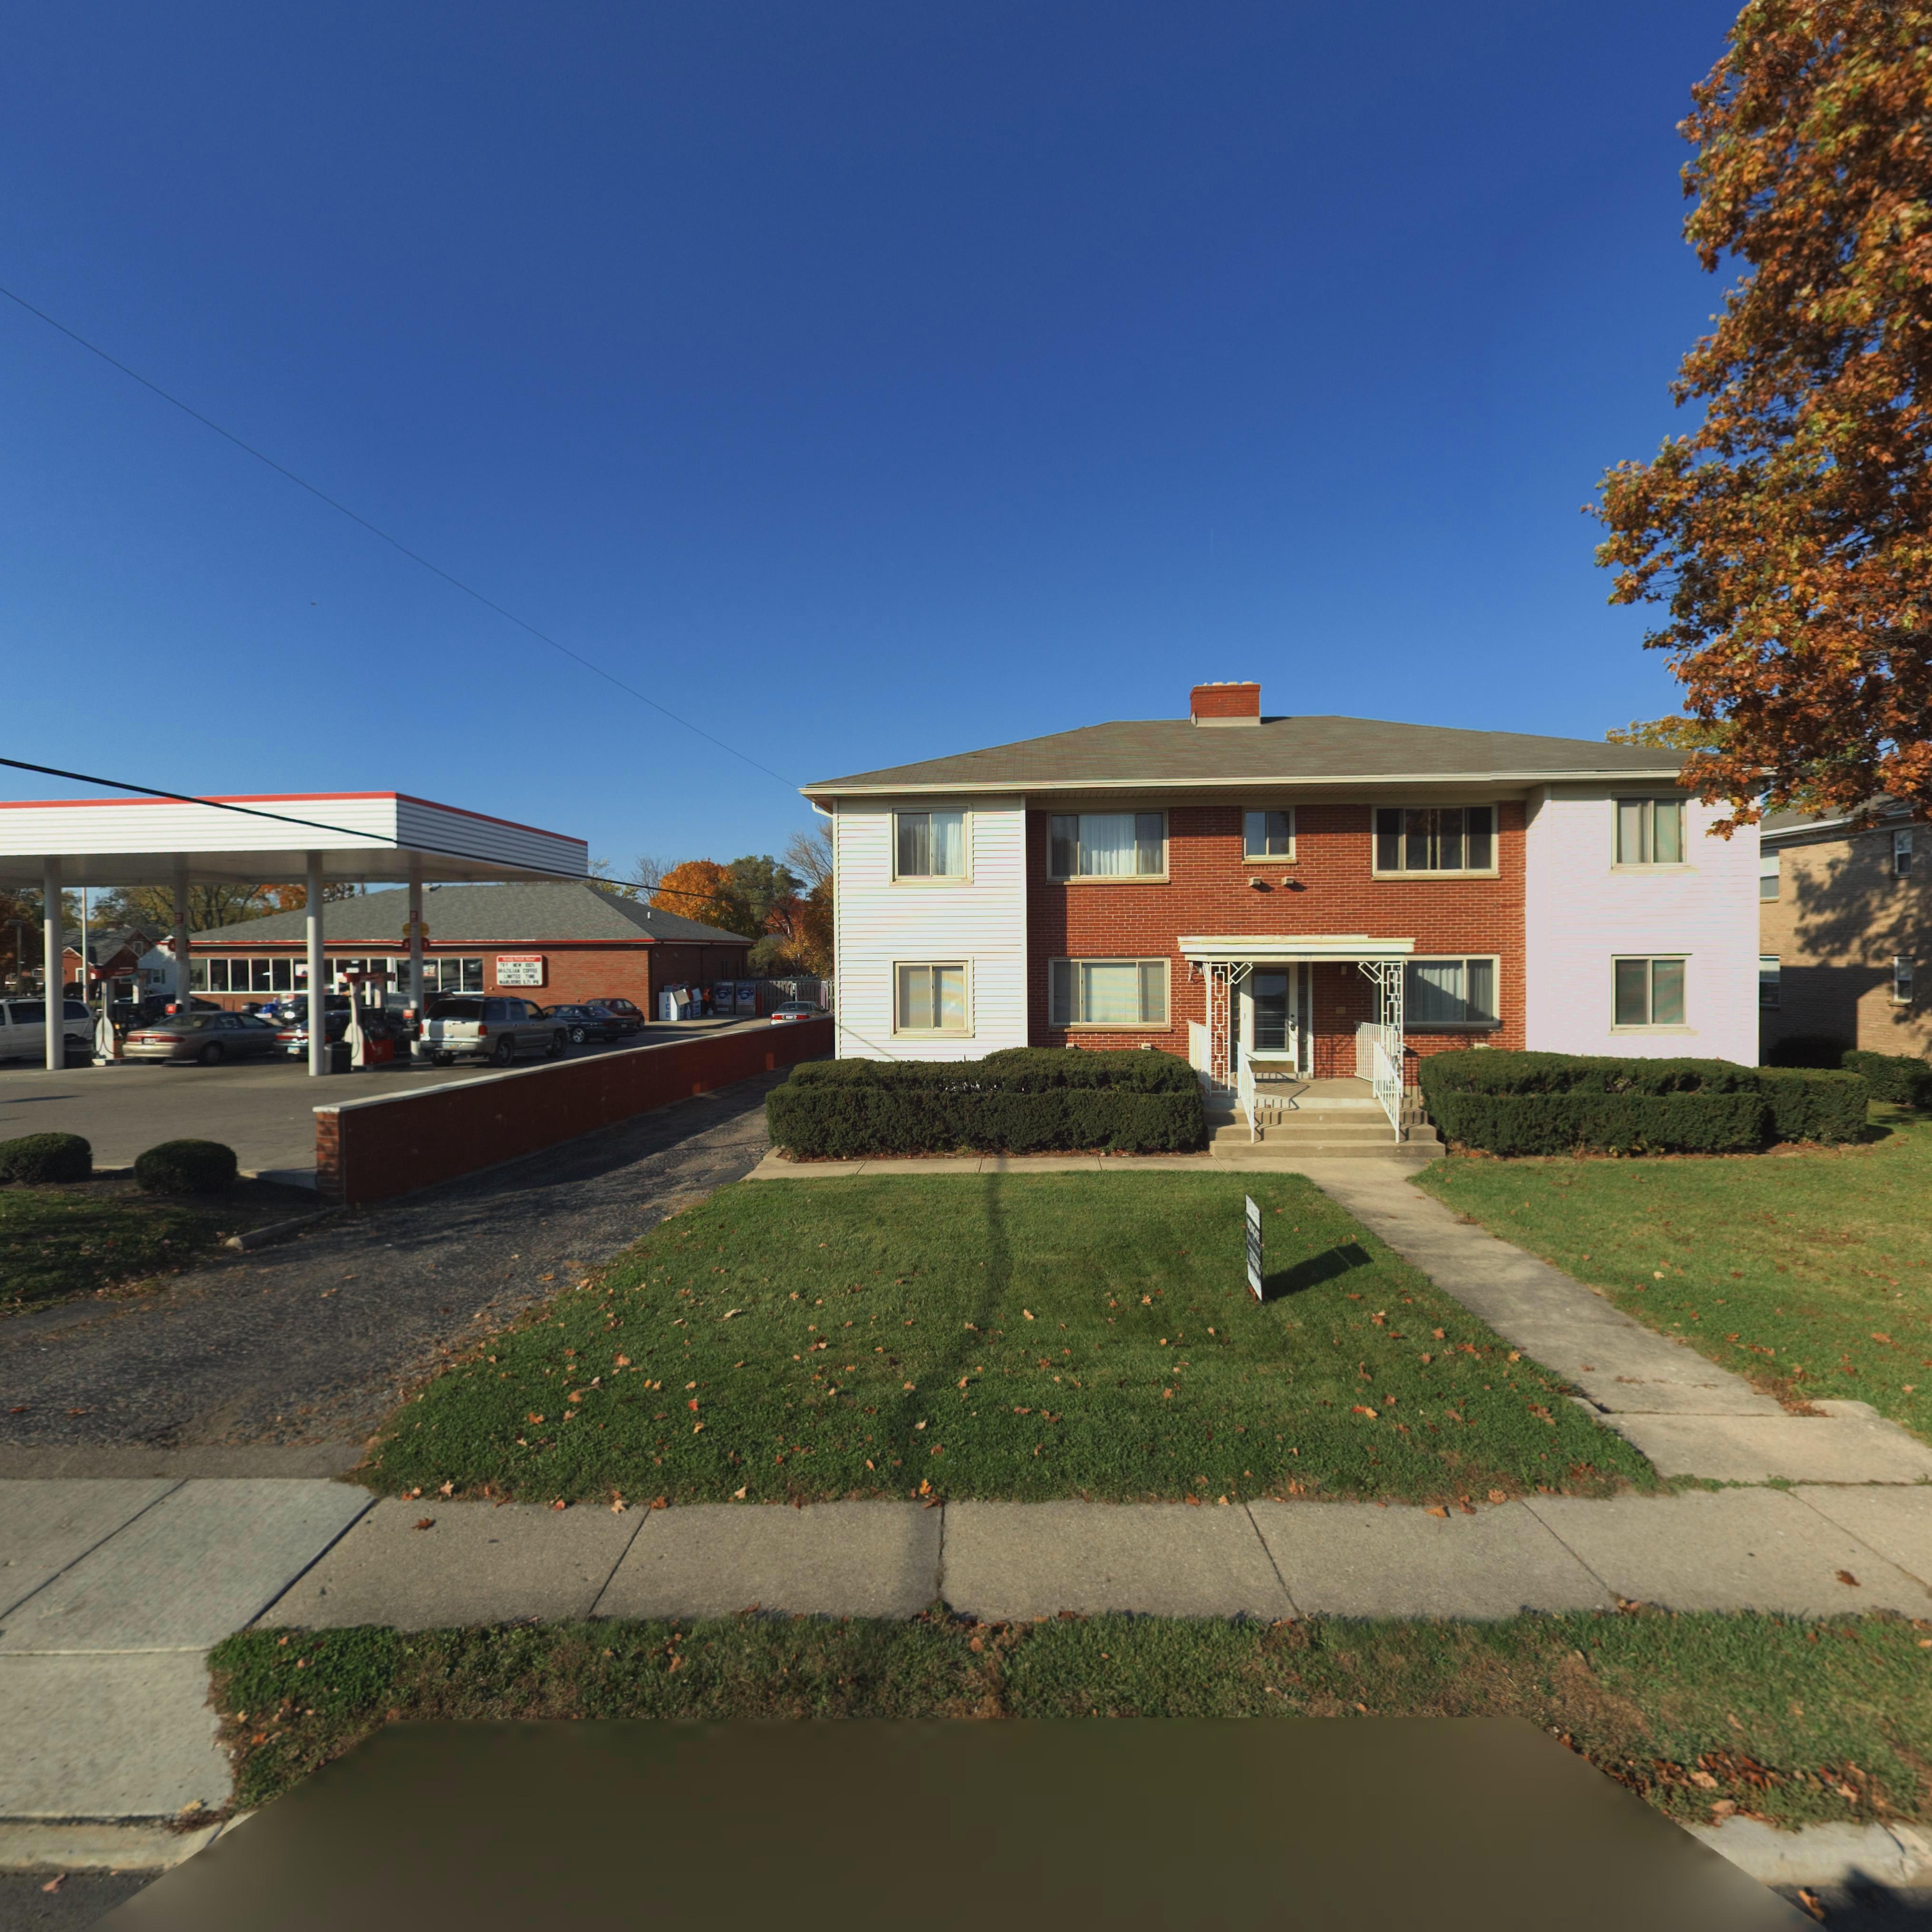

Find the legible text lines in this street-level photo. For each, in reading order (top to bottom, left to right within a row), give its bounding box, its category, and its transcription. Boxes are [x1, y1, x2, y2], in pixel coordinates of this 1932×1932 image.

[1297, 953, 1313, 961] StreetNumber: 533